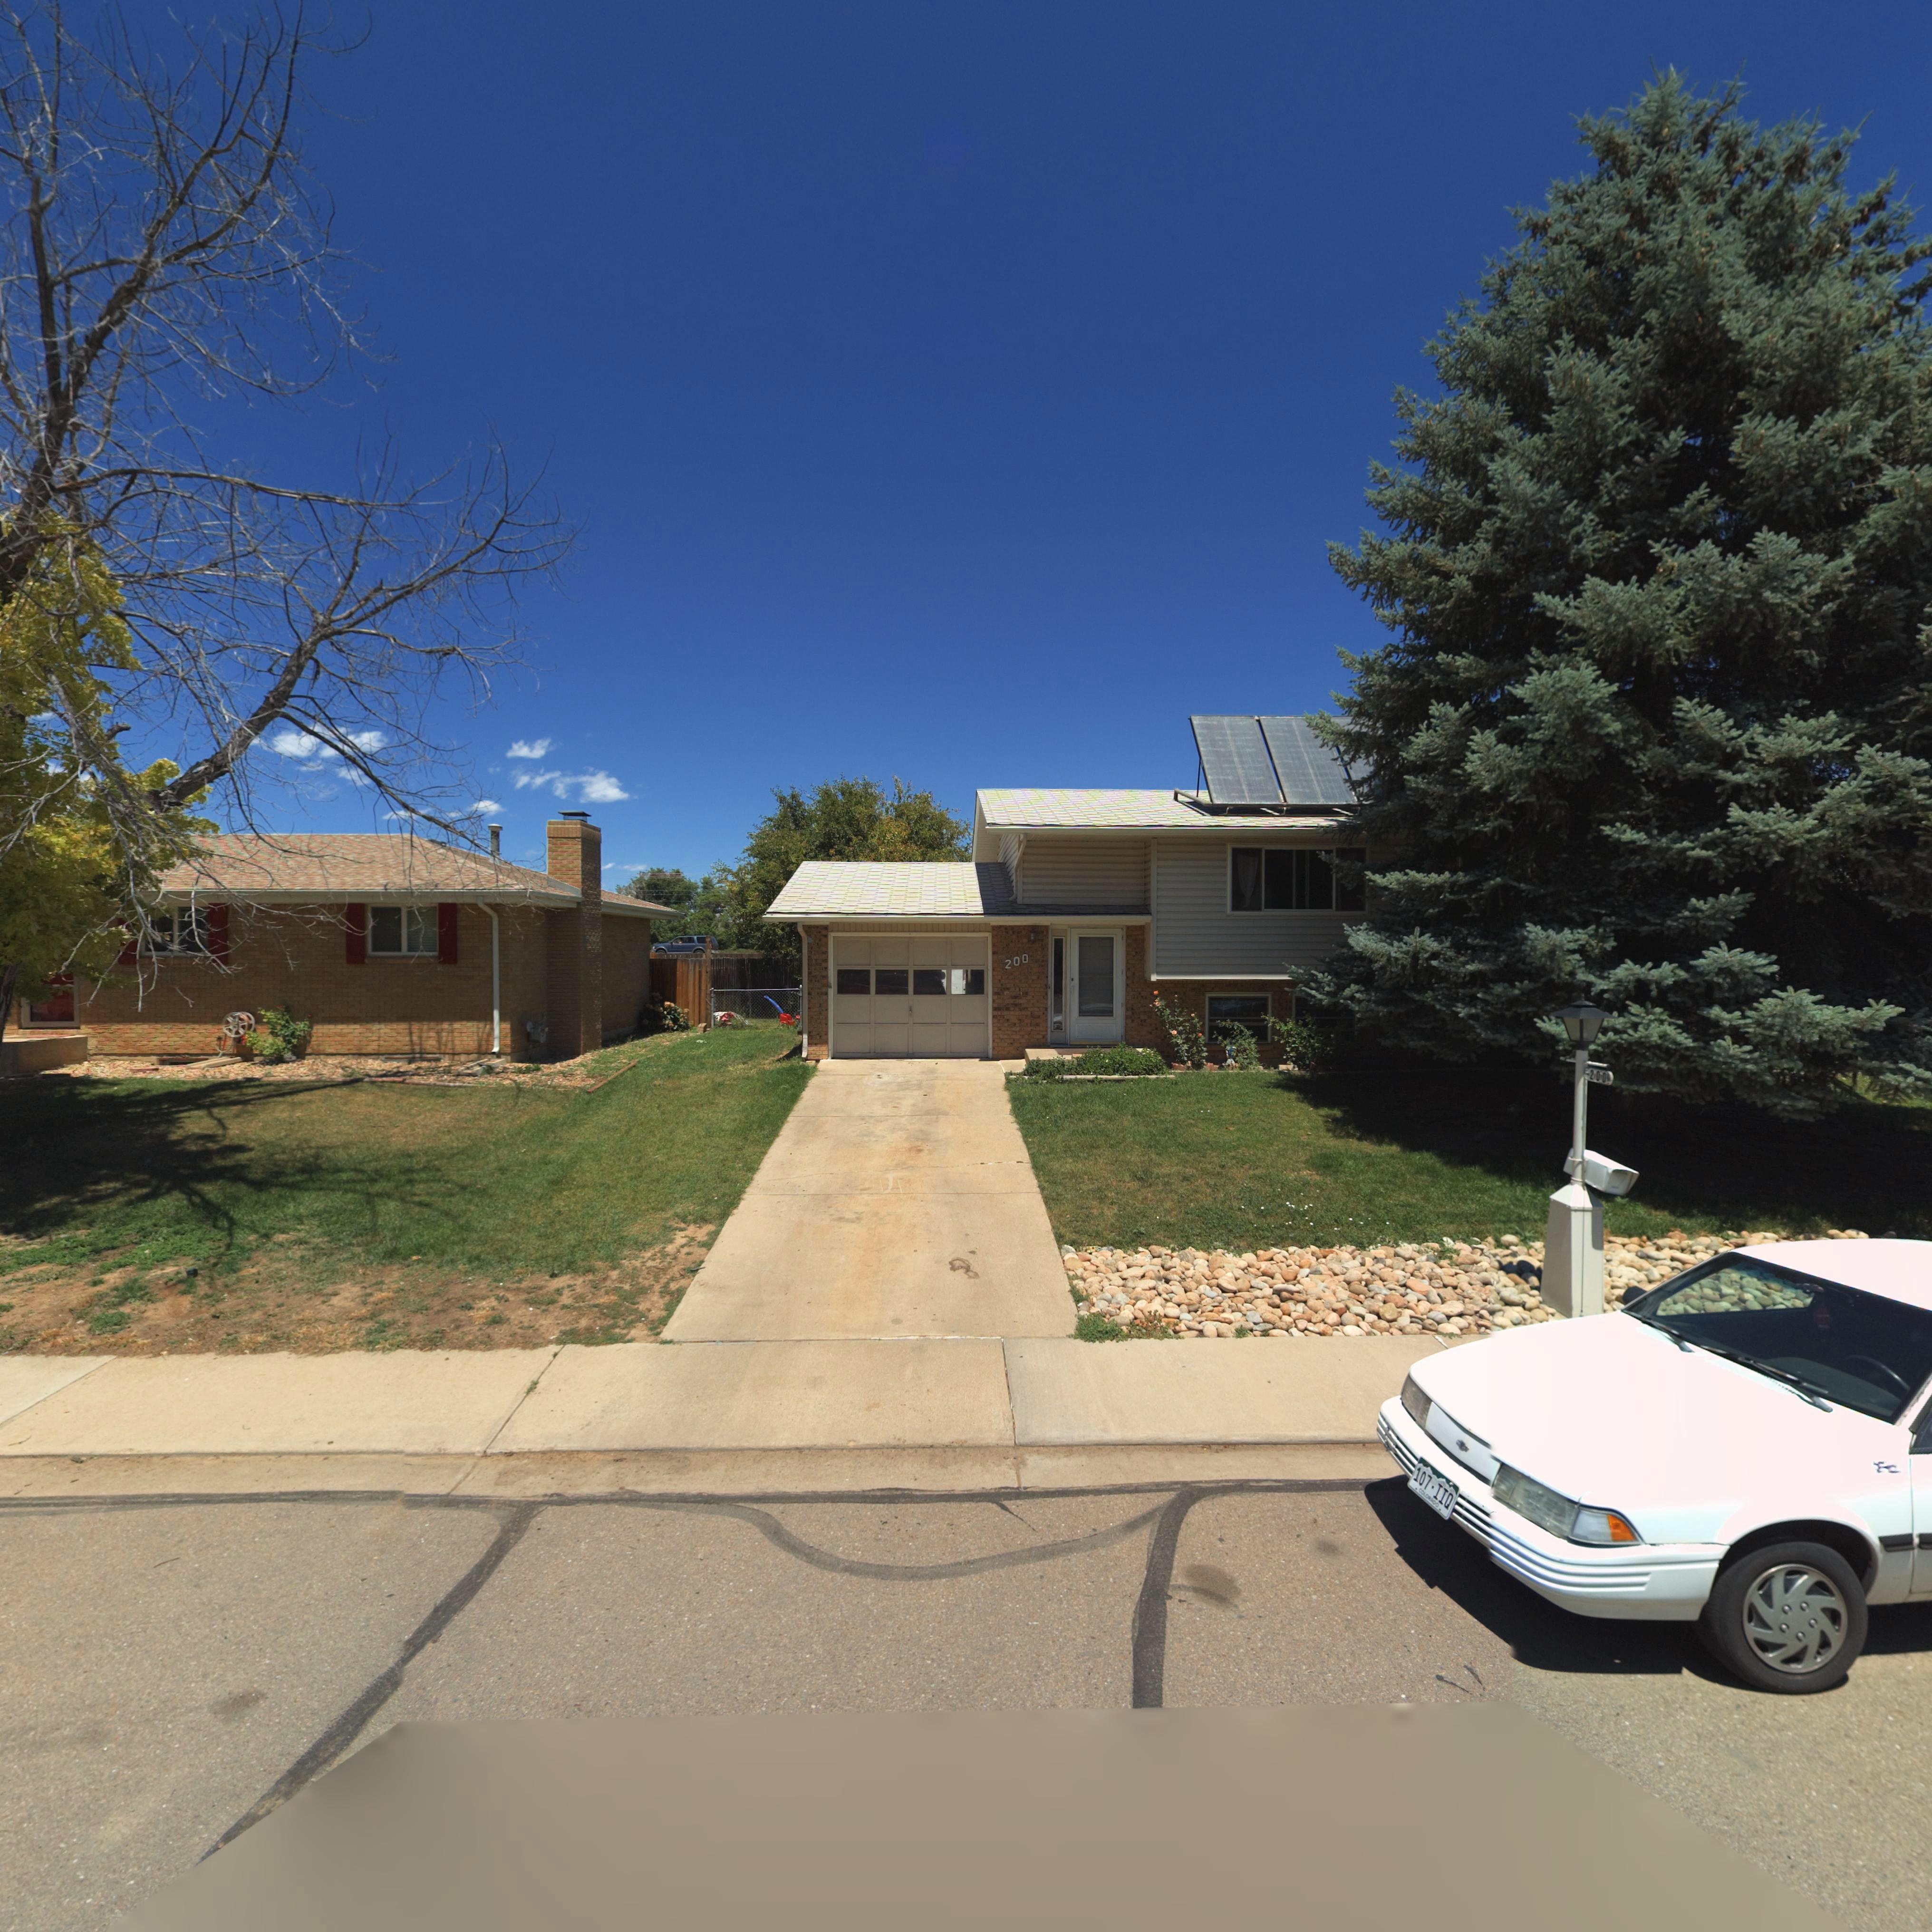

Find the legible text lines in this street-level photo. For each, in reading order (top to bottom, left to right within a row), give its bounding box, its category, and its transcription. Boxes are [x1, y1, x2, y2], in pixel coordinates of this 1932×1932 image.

[1004, 953, 1028, 969] StreetNumber: 200
[1589, 1068, 1606, 1083] StreetNumber: 200